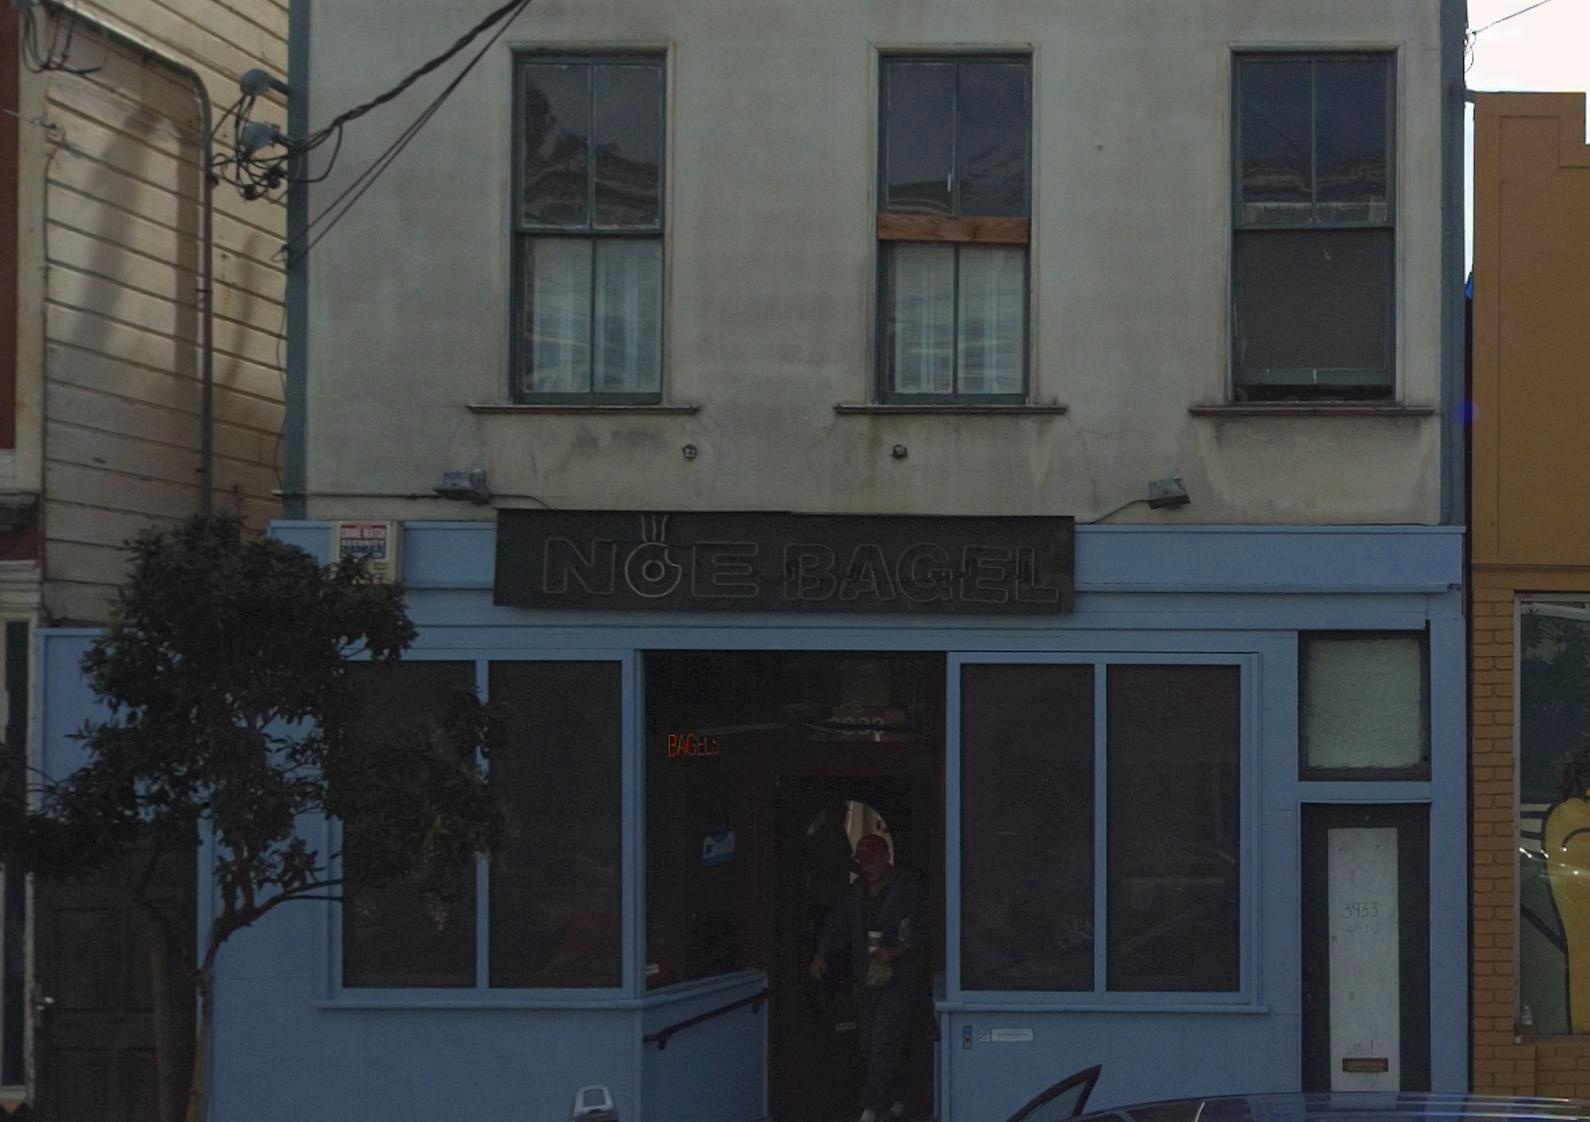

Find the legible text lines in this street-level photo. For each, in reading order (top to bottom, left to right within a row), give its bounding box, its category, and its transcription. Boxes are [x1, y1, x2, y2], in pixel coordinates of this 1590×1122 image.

[542, 537, 1060, 605] BusinessName: NOE BAGEL
[665, 731, 723, 759] None: BAG*L*
[1341, 900, 1379, 920] StreetNumber: 3933
[1345, 1039, 1375, 1056] None: Mail\